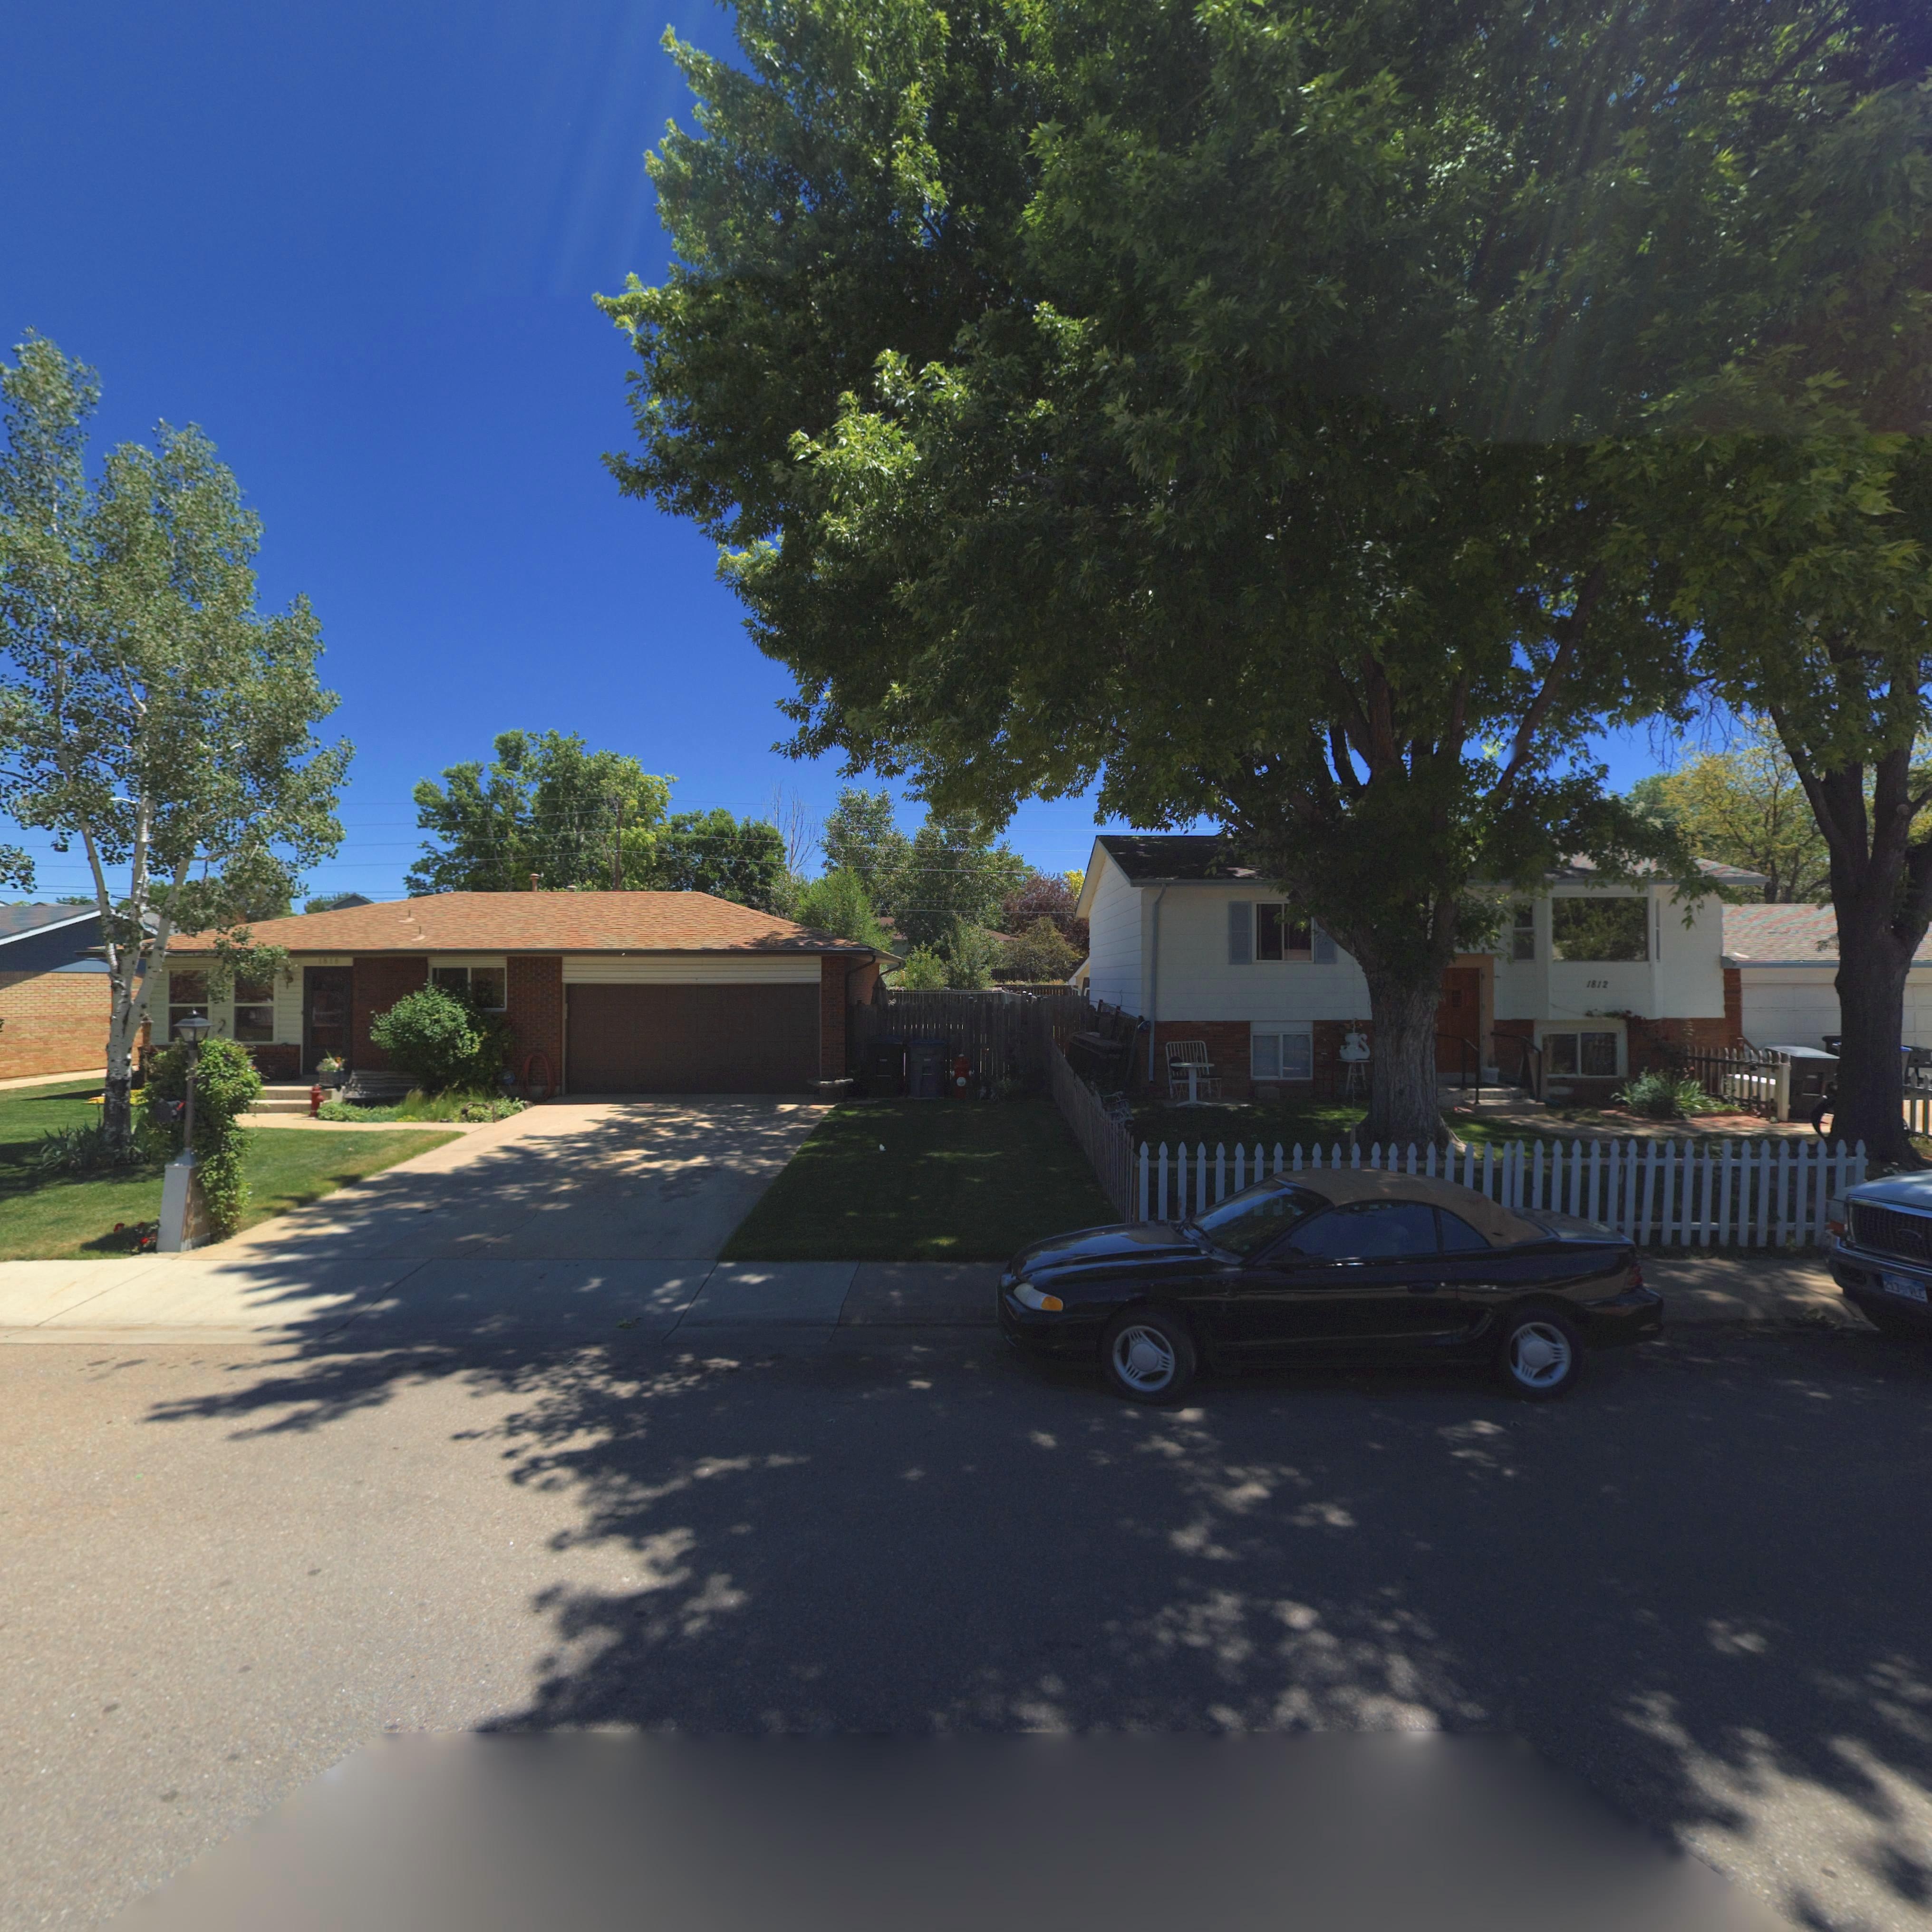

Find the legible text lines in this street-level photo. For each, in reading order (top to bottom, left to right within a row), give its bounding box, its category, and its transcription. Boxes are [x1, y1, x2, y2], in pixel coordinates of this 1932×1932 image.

[318, 956, 339, 964] StreetNumber: 181*
[1585, 980, 1608, 988] StreetNumber: 1812